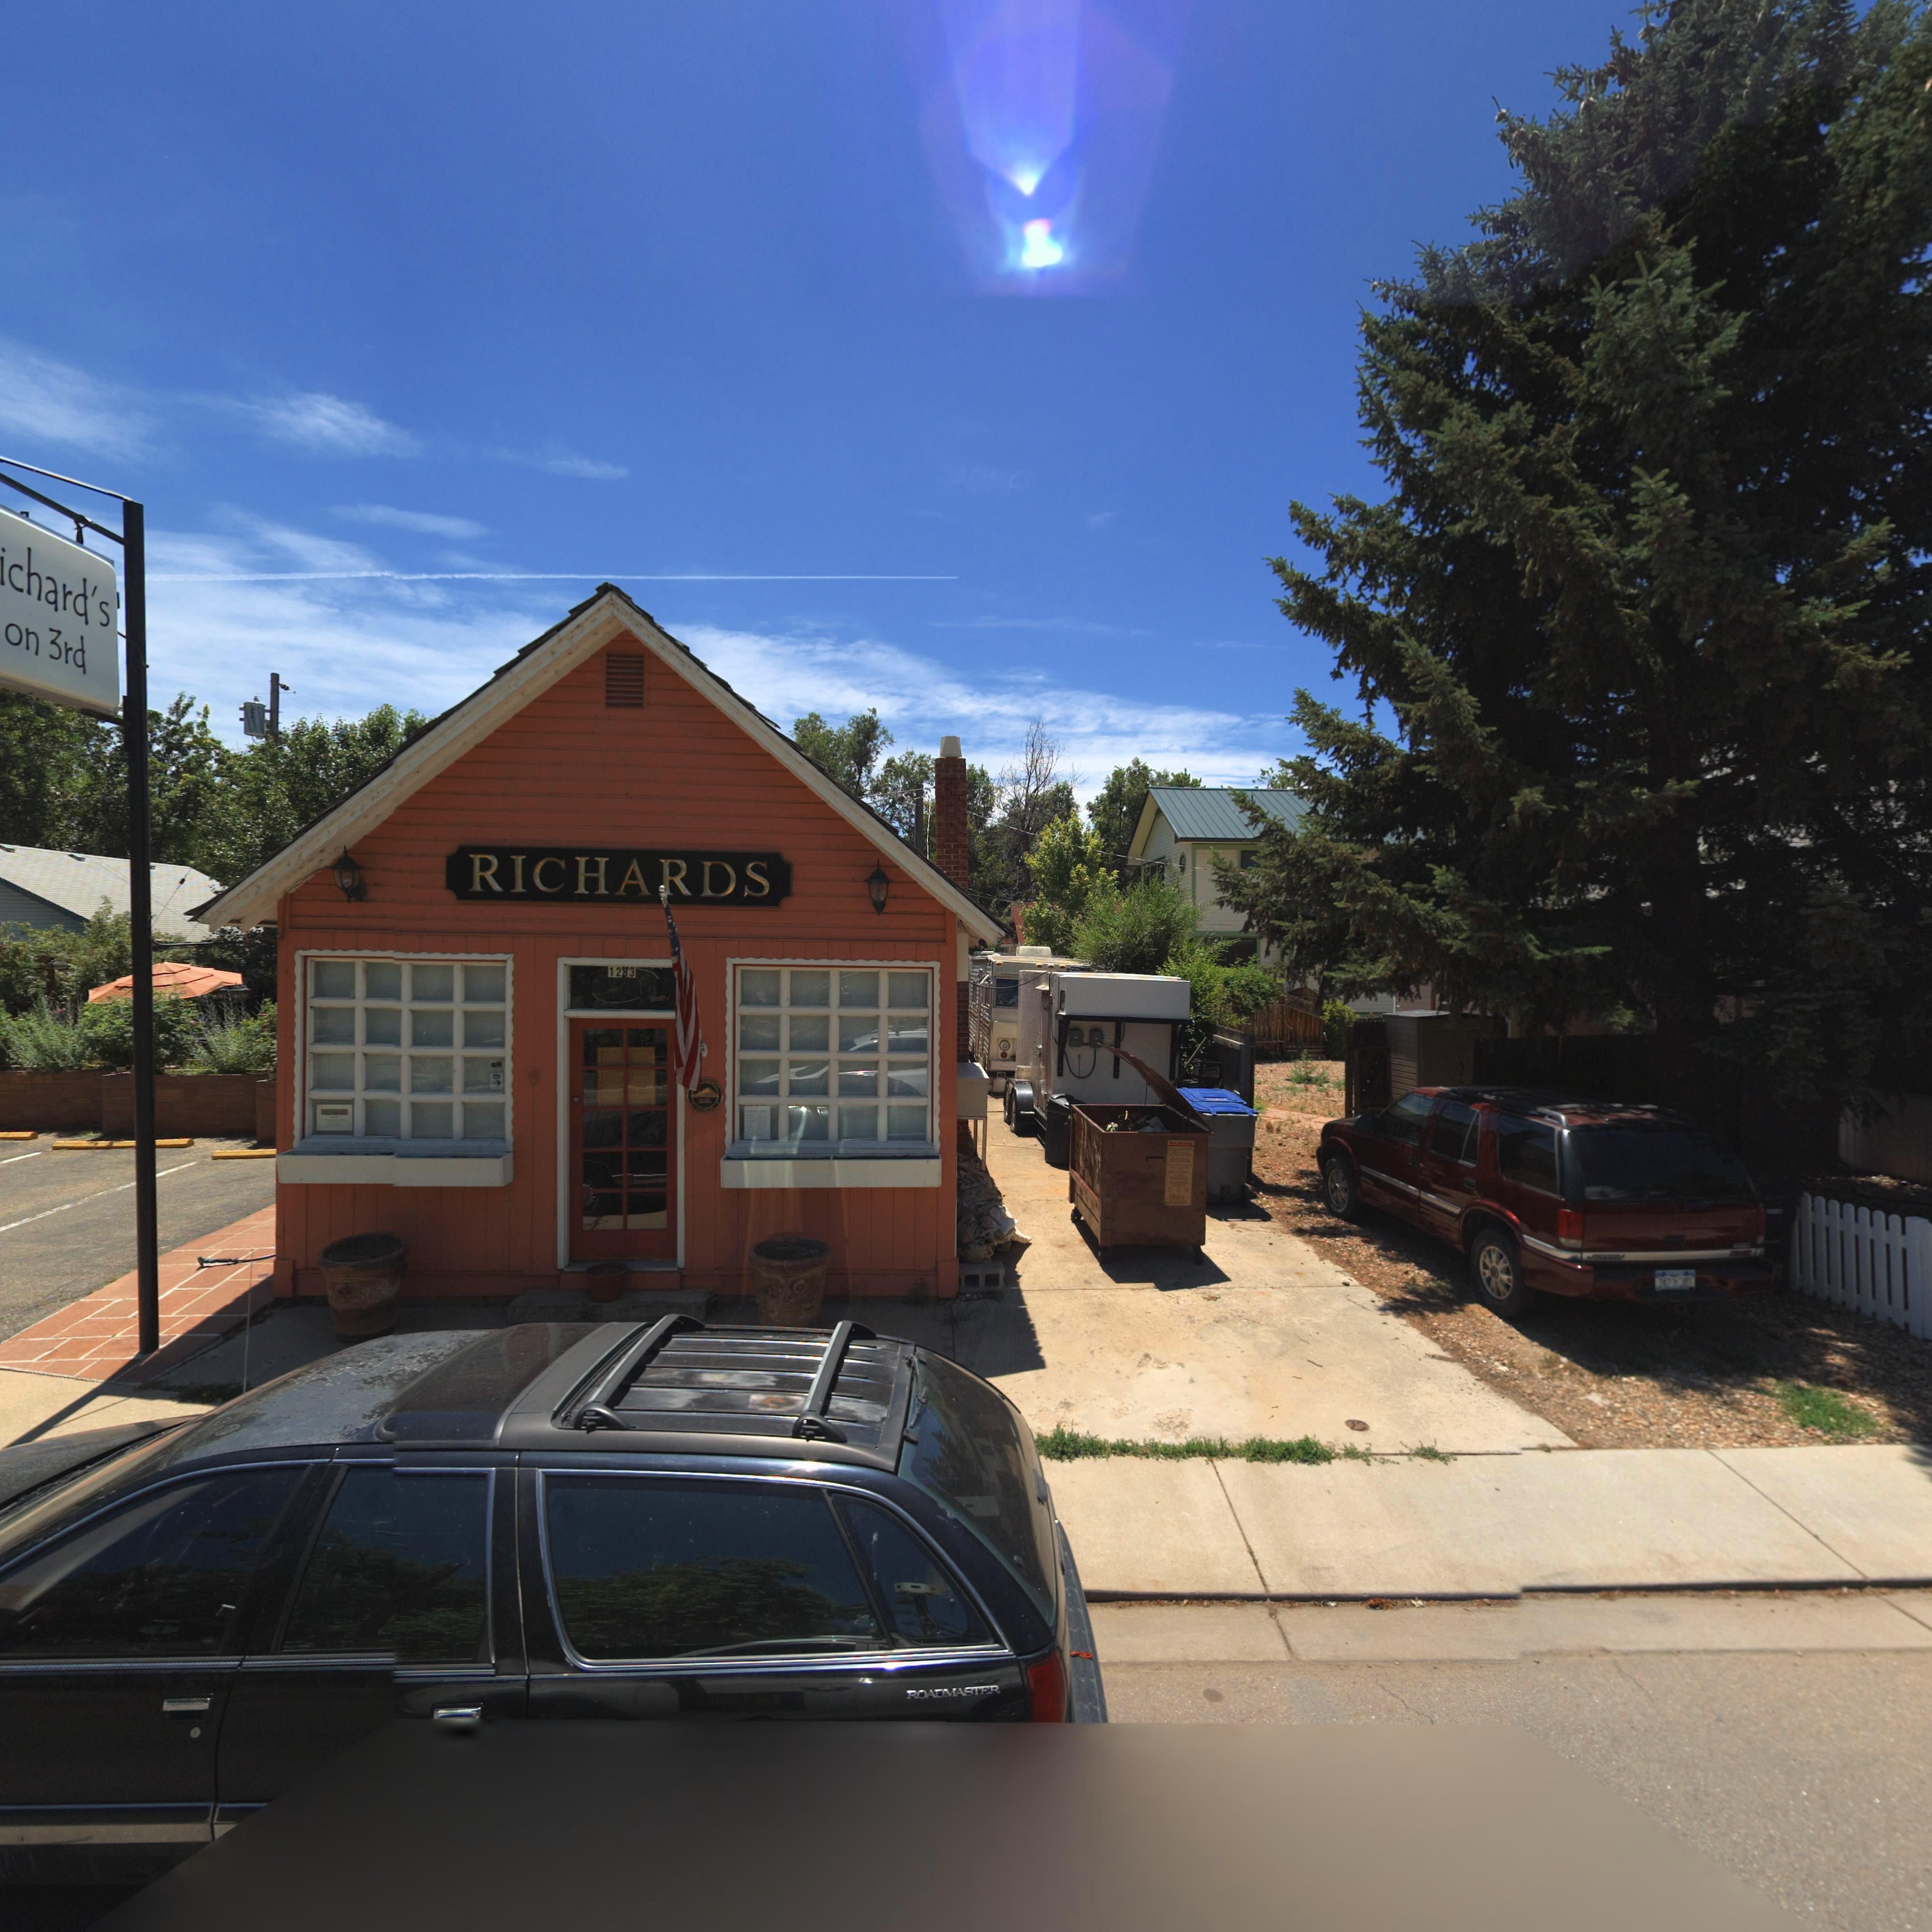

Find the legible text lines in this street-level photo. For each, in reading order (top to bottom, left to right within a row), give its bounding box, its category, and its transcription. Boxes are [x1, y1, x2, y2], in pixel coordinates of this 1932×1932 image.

[0, 546, 110, 628] BusinessName: ichard's
[466, 853, 770, 898] BusinessName: RICHARDS
[609, 966, 634, 977] StreetNumber: 1283